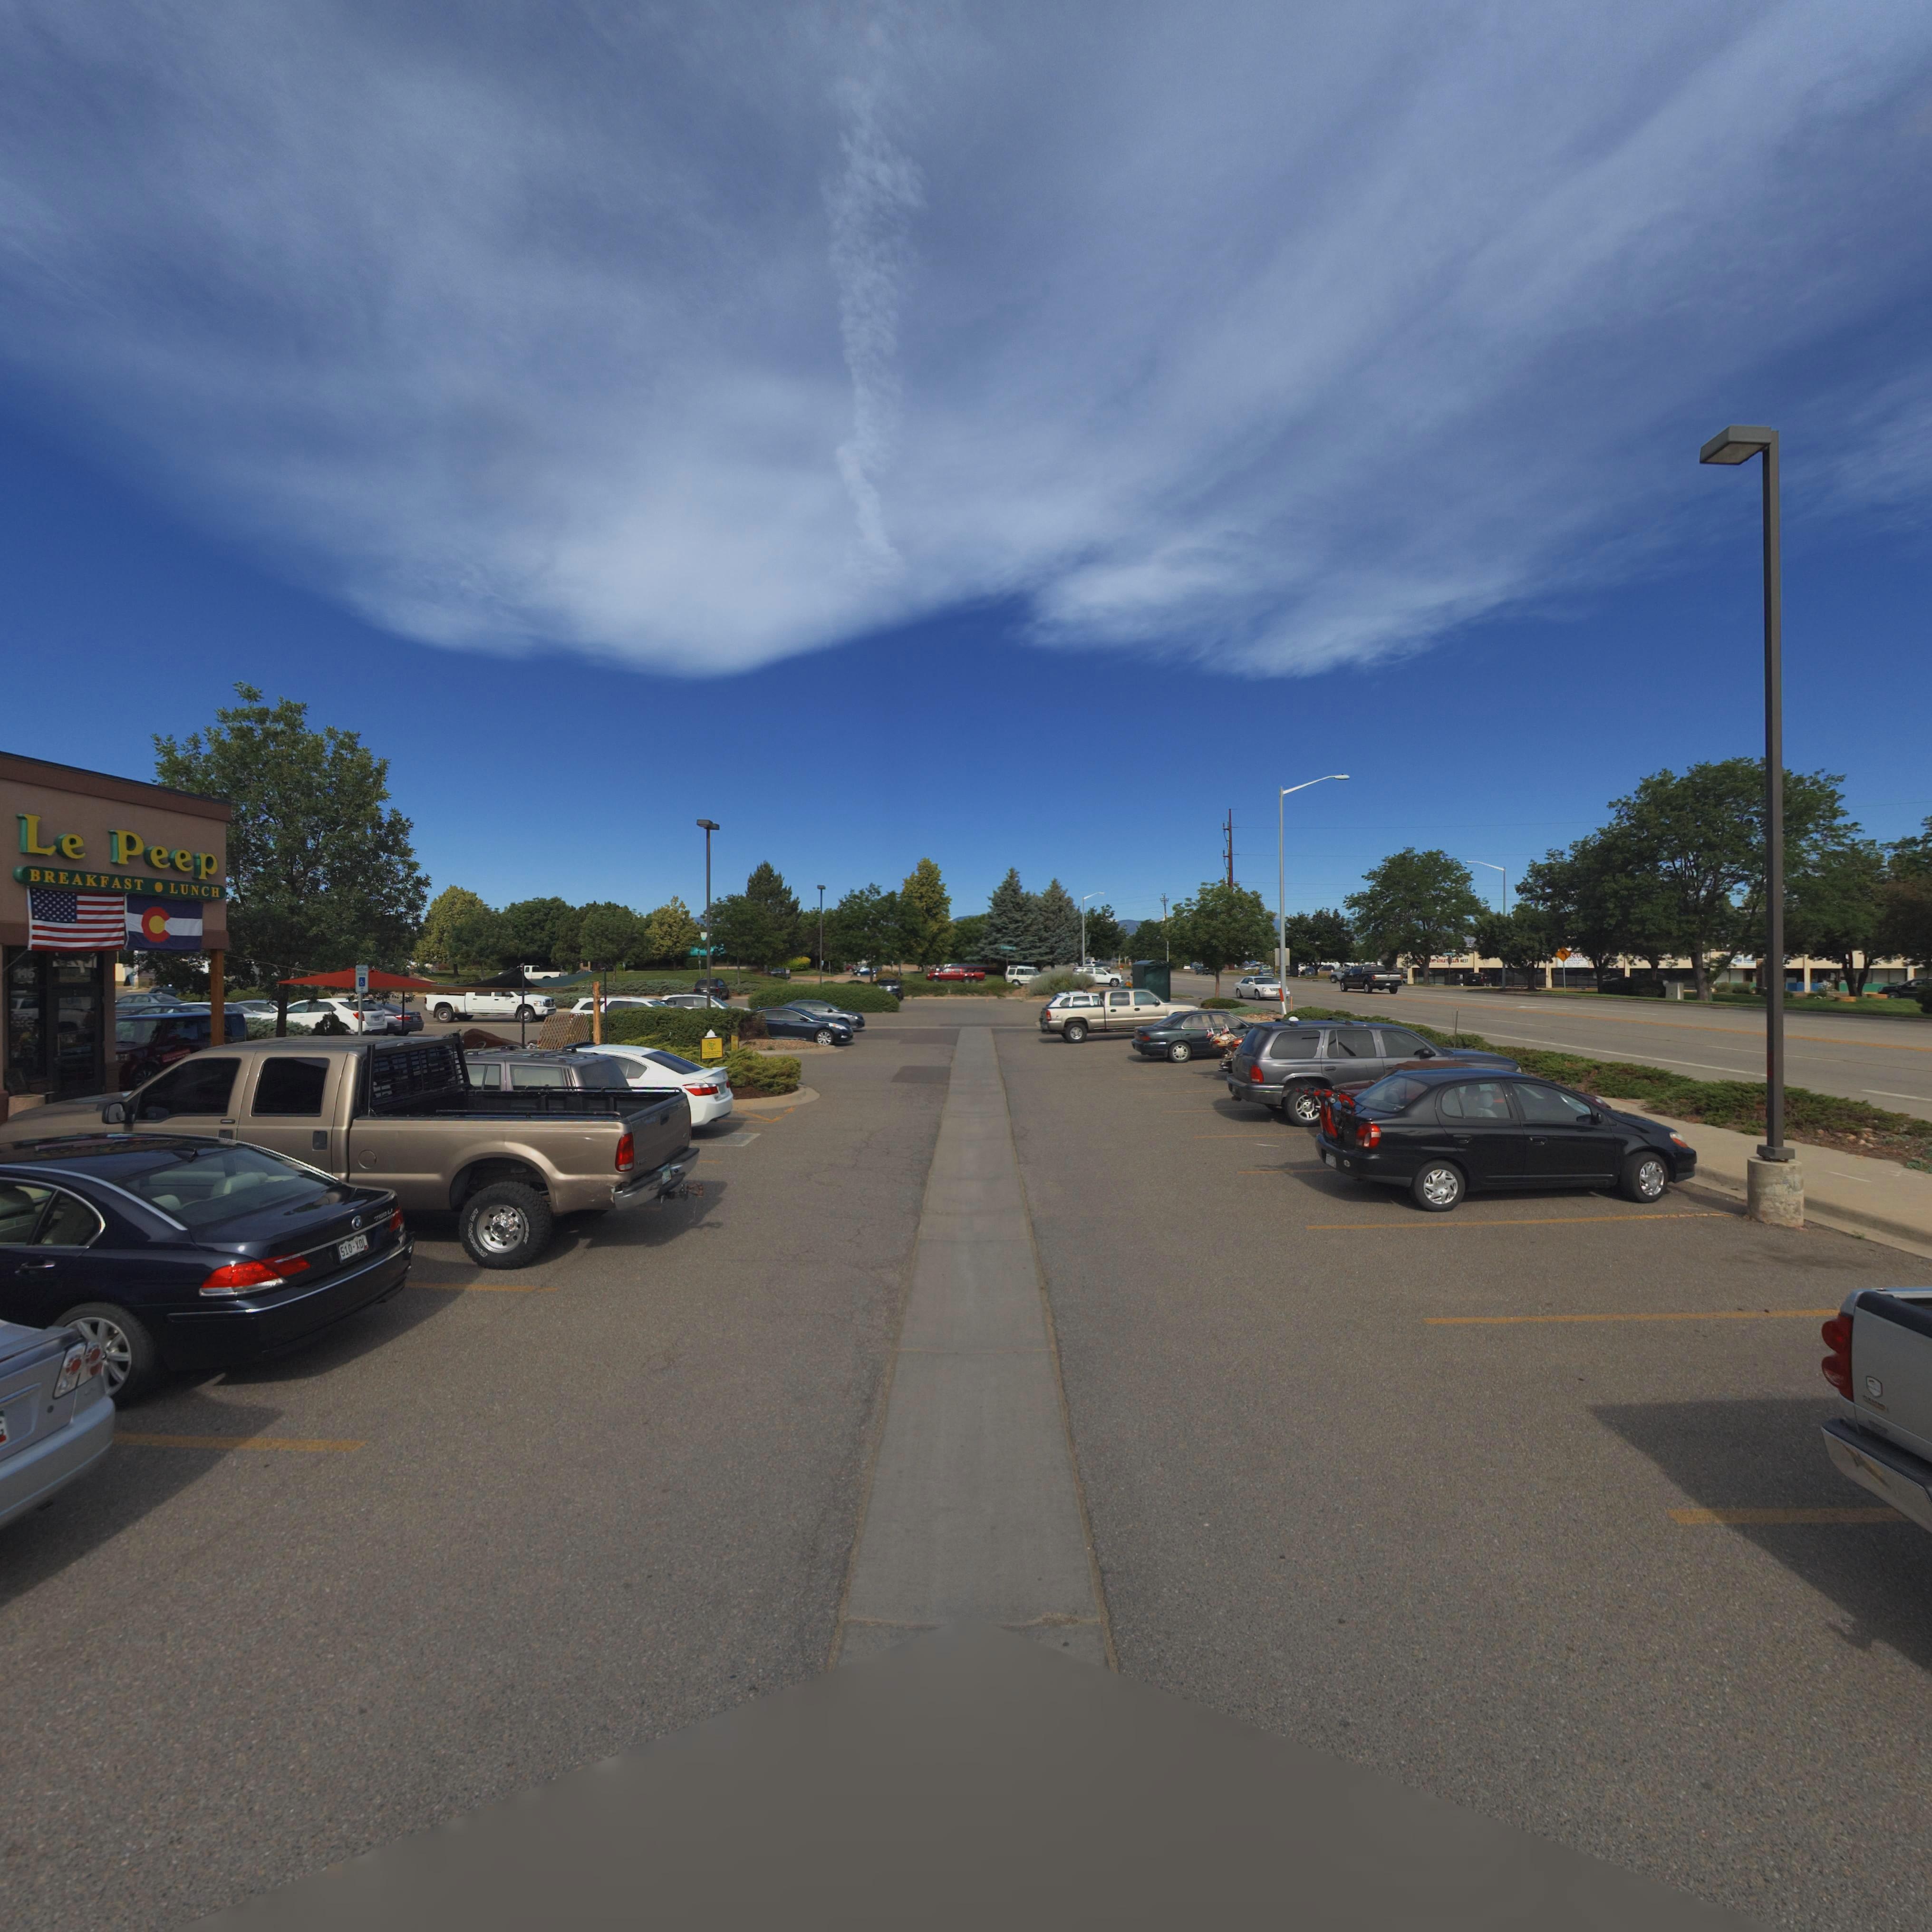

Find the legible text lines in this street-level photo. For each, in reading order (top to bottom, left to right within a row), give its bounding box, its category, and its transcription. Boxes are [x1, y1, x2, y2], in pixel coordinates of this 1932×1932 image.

[16, 812, 218, 880] BusinessName: Le Peep
[1460, 958, 1468, 962] BusinessName: WEST
[1569, 953, 1584, 958] BusinessName: *SA*
[12, 967, 35, 977] StreetNumber: 146